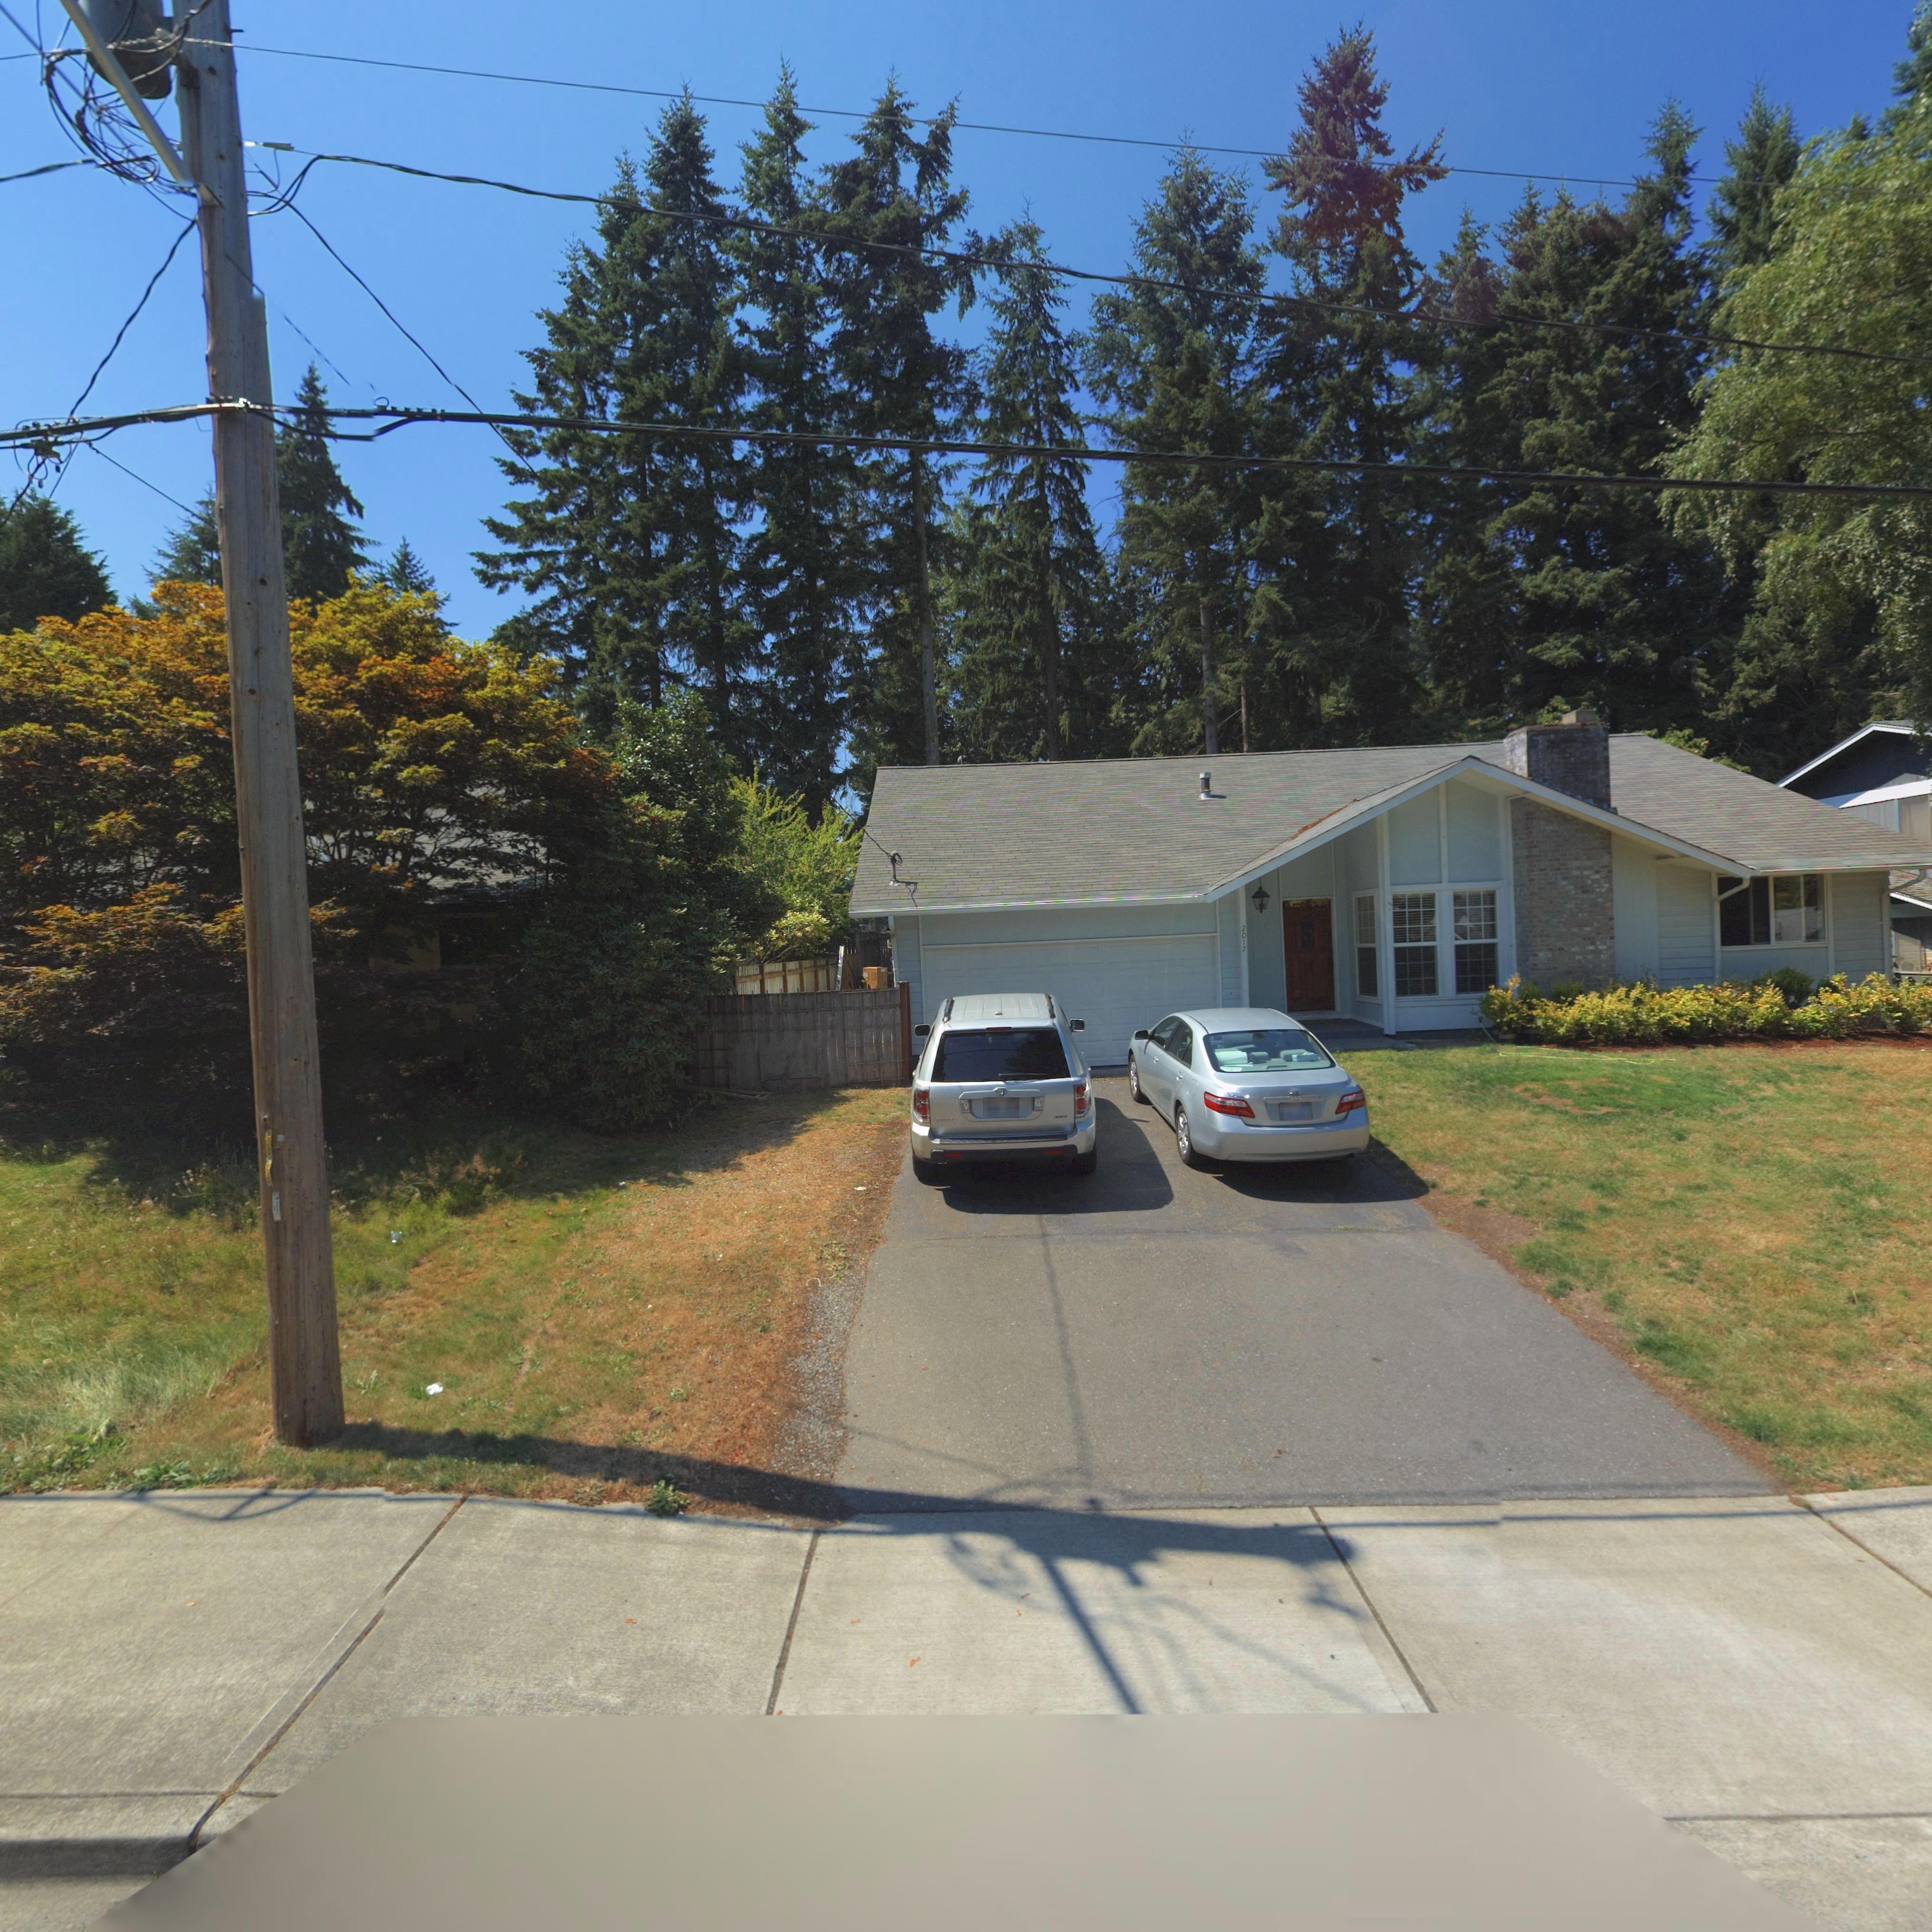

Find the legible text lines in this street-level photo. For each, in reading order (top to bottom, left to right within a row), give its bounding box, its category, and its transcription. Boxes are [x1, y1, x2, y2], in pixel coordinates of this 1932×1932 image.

[1242, 924, 1247, 953] StreetNumber: 2017